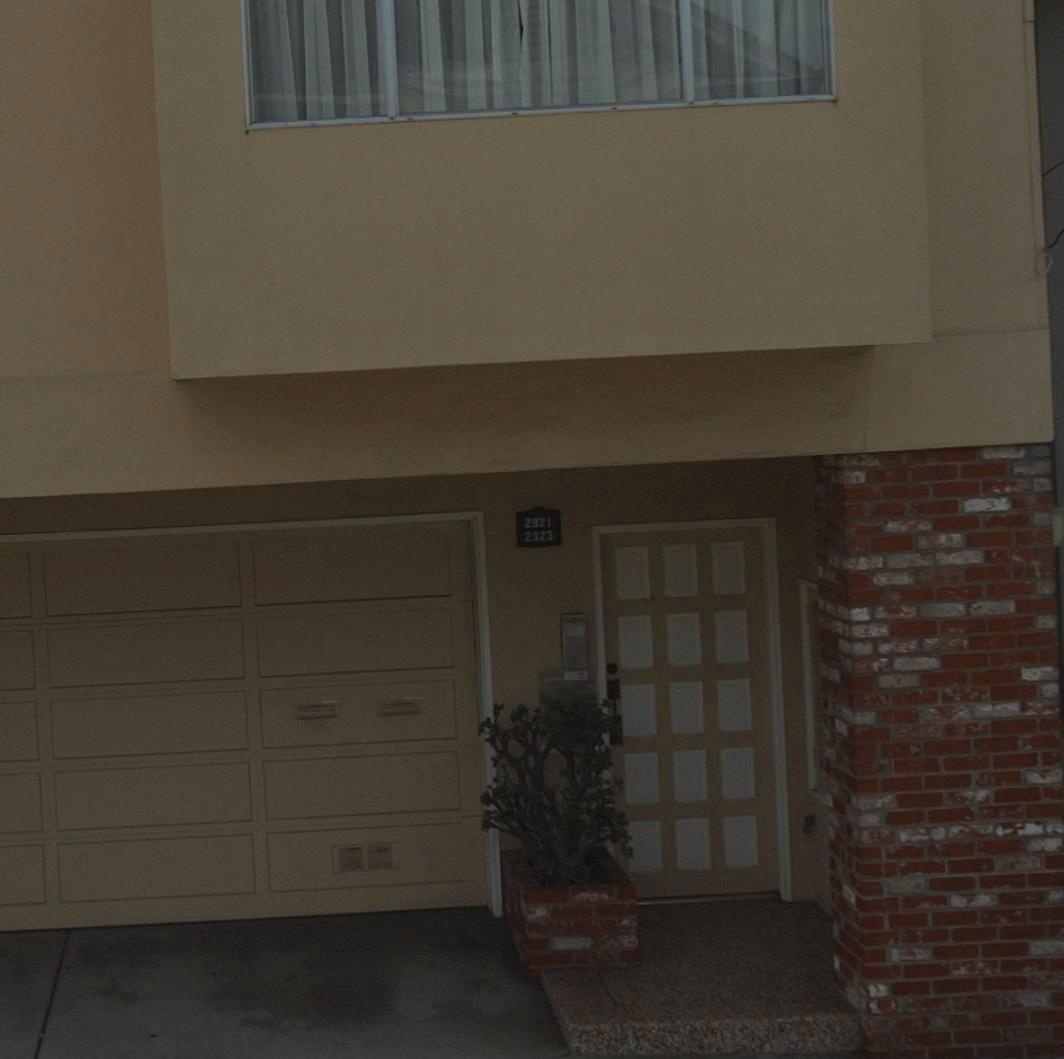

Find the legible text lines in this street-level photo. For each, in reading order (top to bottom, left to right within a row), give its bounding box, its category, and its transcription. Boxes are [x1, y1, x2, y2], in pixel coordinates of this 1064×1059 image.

[521, 515, 553, 531] StreetNumber: 2921
[522, 528, 556, 545] StreetNumber: 2923